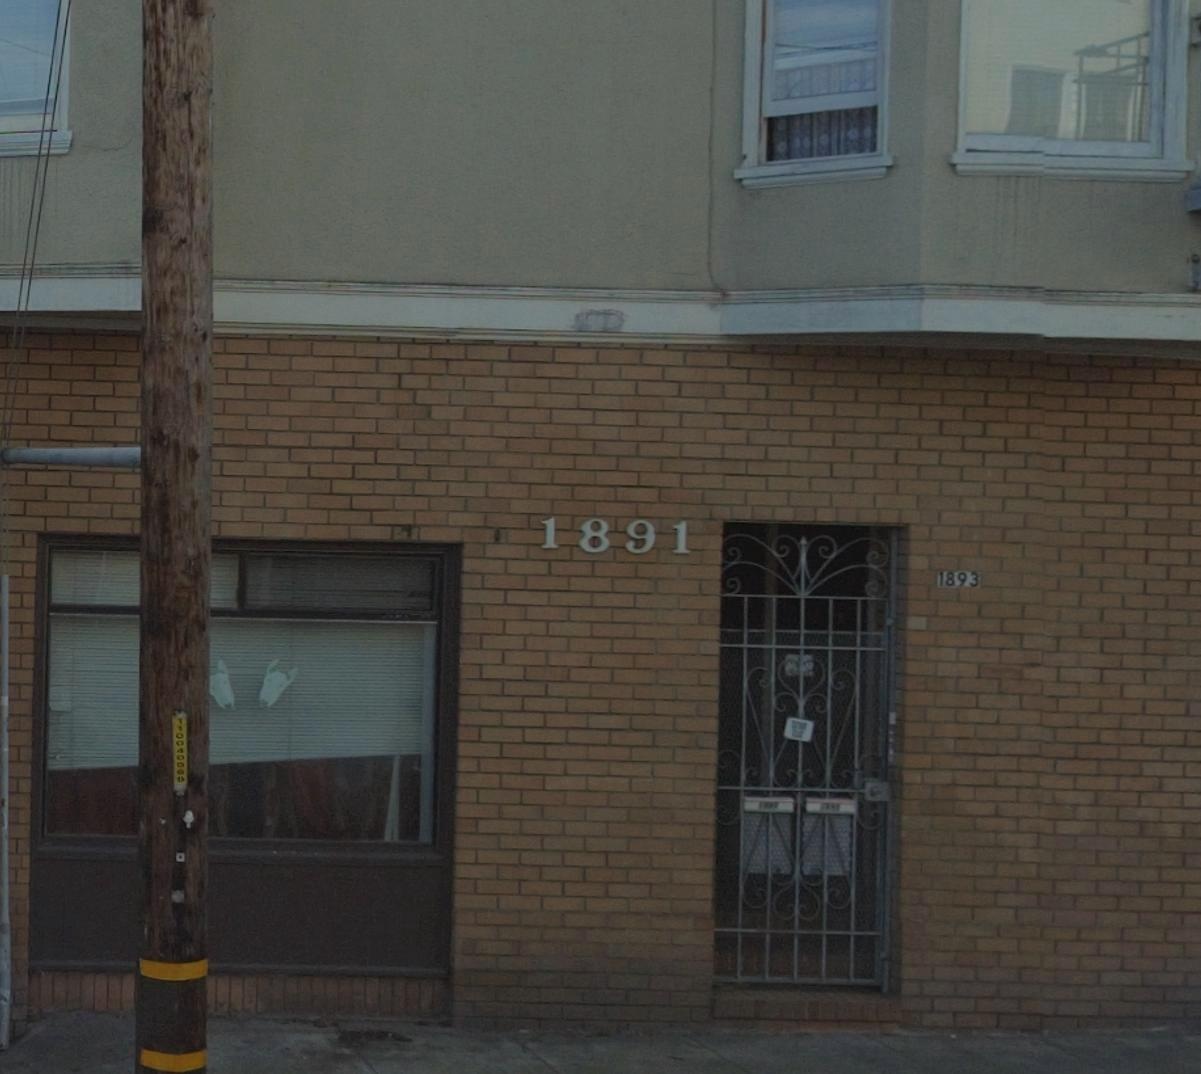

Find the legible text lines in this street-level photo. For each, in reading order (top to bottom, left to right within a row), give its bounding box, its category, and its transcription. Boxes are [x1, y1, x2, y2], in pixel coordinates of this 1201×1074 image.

[538, 513, 692, 558] StreetNumber: 1891
[935, 569, 981, 589] StreetNumber: 1893
[172, 714, 188, 785] None: 110040***